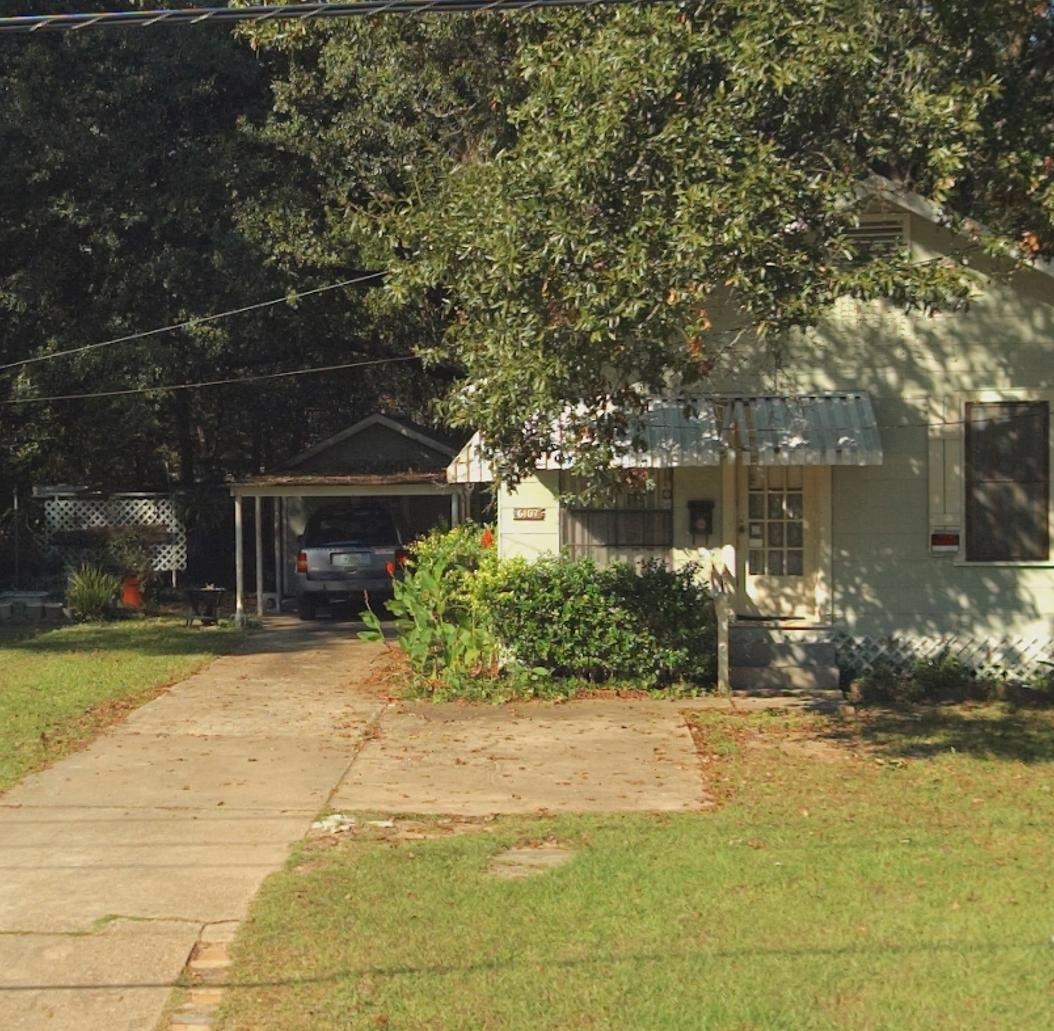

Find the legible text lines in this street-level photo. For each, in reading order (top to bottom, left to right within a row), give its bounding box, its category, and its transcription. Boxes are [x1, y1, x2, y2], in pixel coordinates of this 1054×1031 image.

[516, 508, 540, 519] StreetNumber: 6107